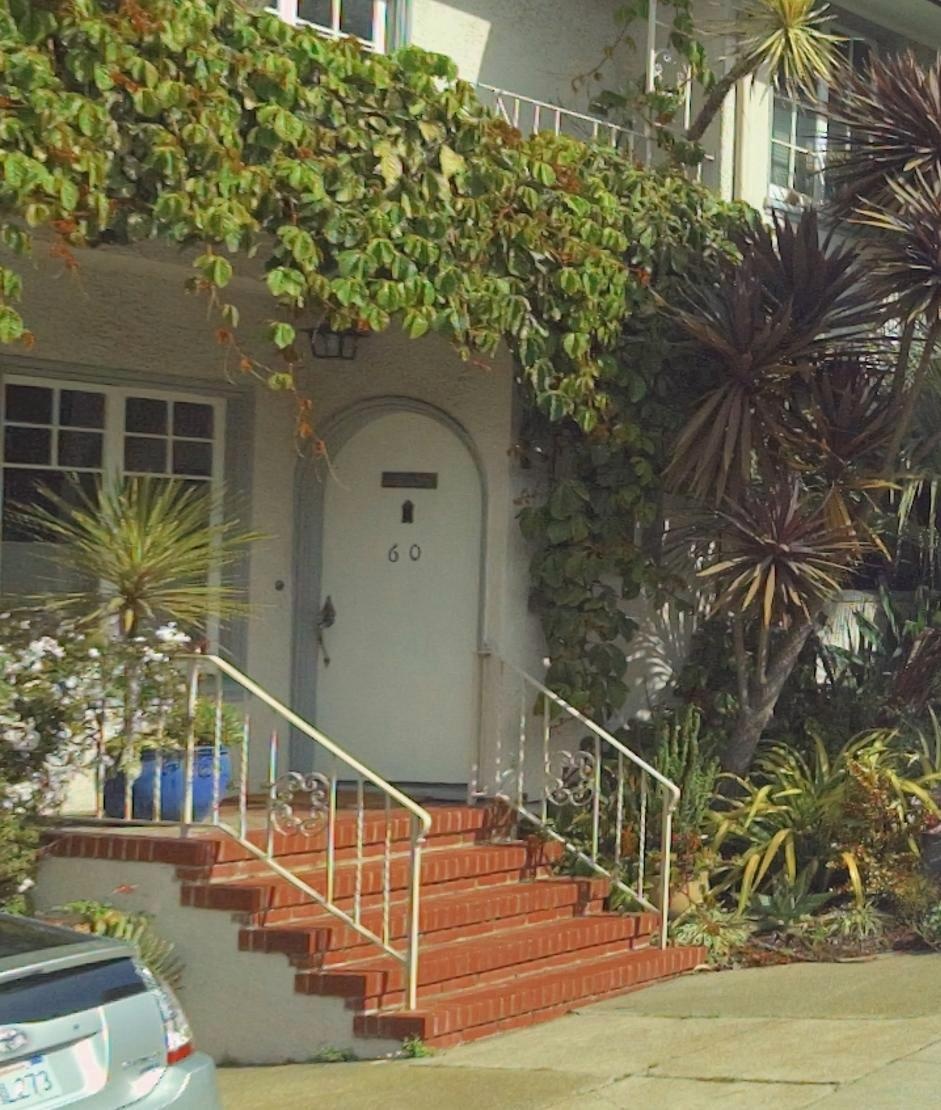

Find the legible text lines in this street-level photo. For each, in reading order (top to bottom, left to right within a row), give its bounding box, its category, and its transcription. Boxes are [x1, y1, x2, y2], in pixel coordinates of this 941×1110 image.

[385, 541, 424, 565] StreetNumber: 60
[7, 1066, 56, 1104] None: 273